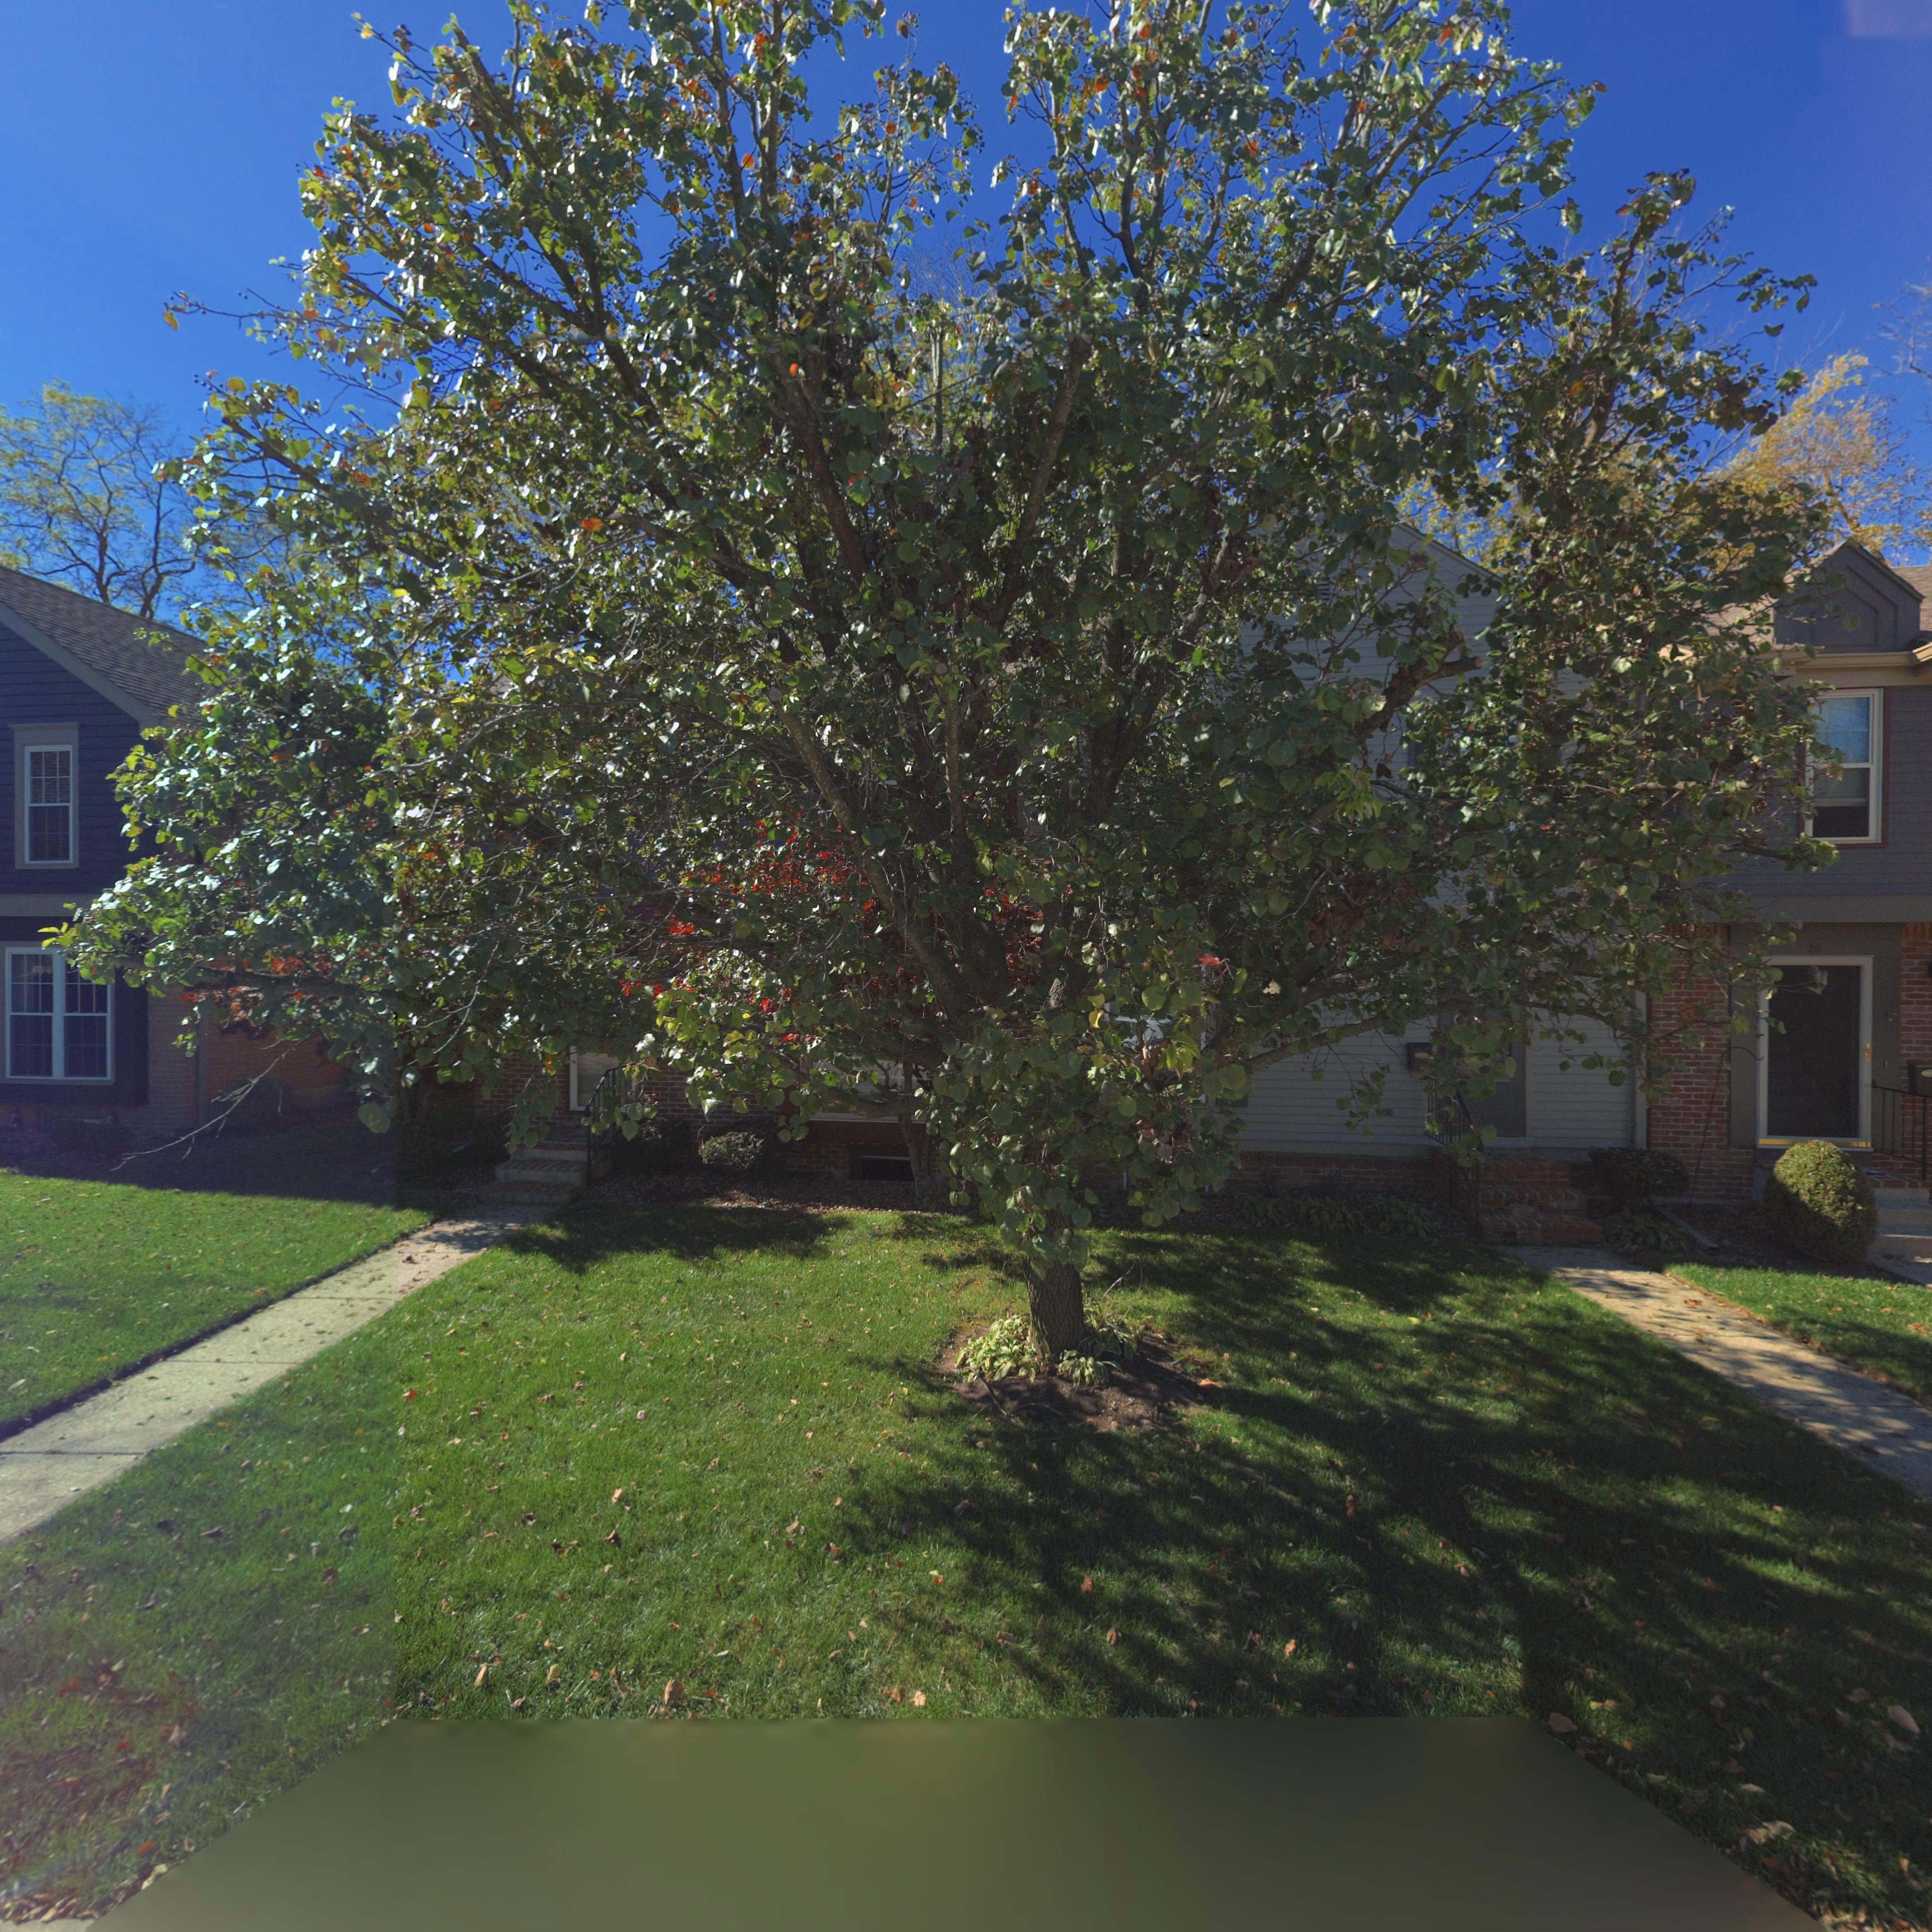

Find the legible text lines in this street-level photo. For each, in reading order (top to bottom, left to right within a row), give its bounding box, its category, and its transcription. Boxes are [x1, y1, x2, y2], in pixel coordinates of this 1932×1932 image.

[1805, 944, 1823, 954] StreetNumber: 20